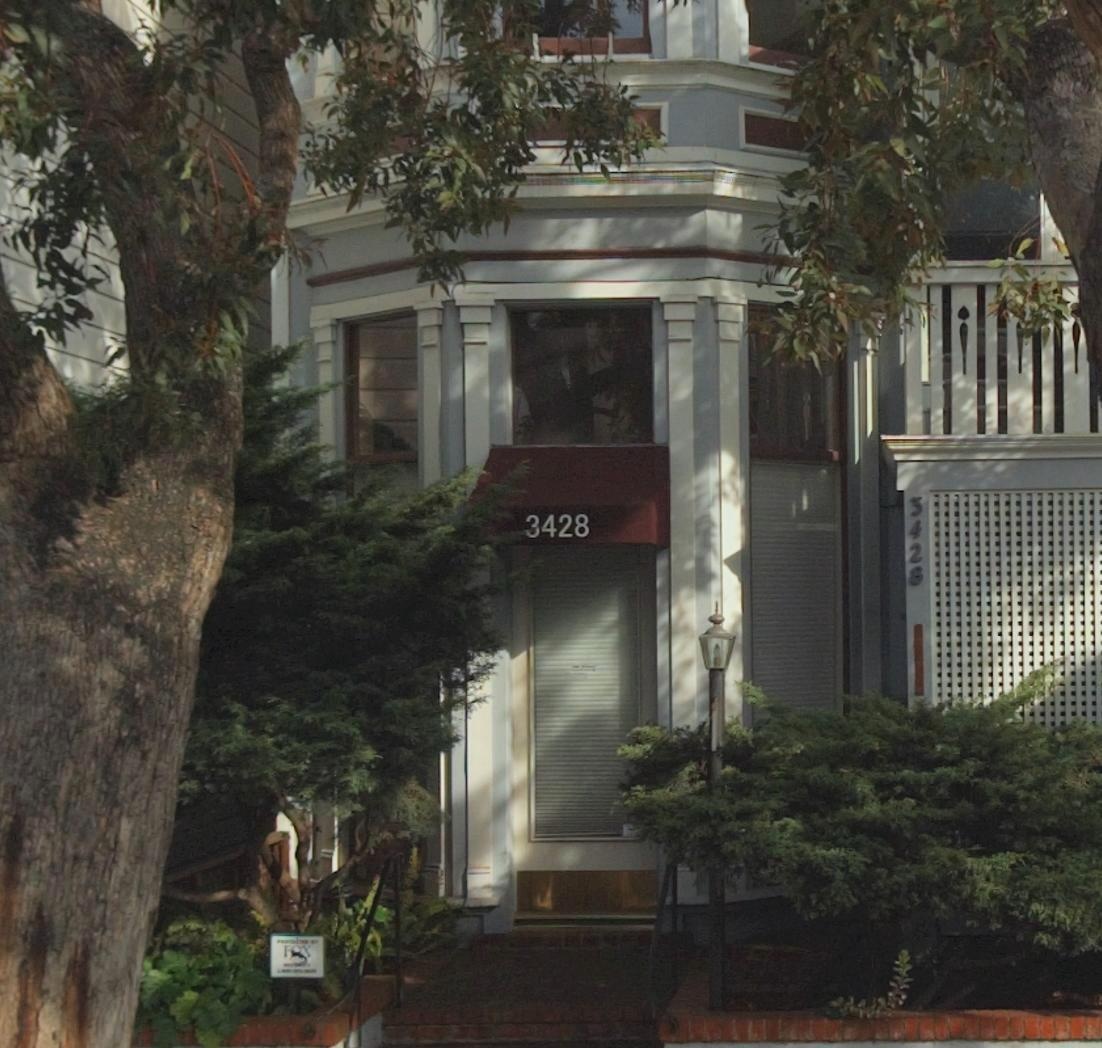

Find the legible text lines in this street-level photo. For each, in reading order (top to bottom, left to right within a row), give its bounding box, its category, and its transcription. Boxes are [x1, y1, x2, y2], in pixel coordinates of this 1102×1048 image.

[521, 511, 593, 542] StreetNumber: 3428